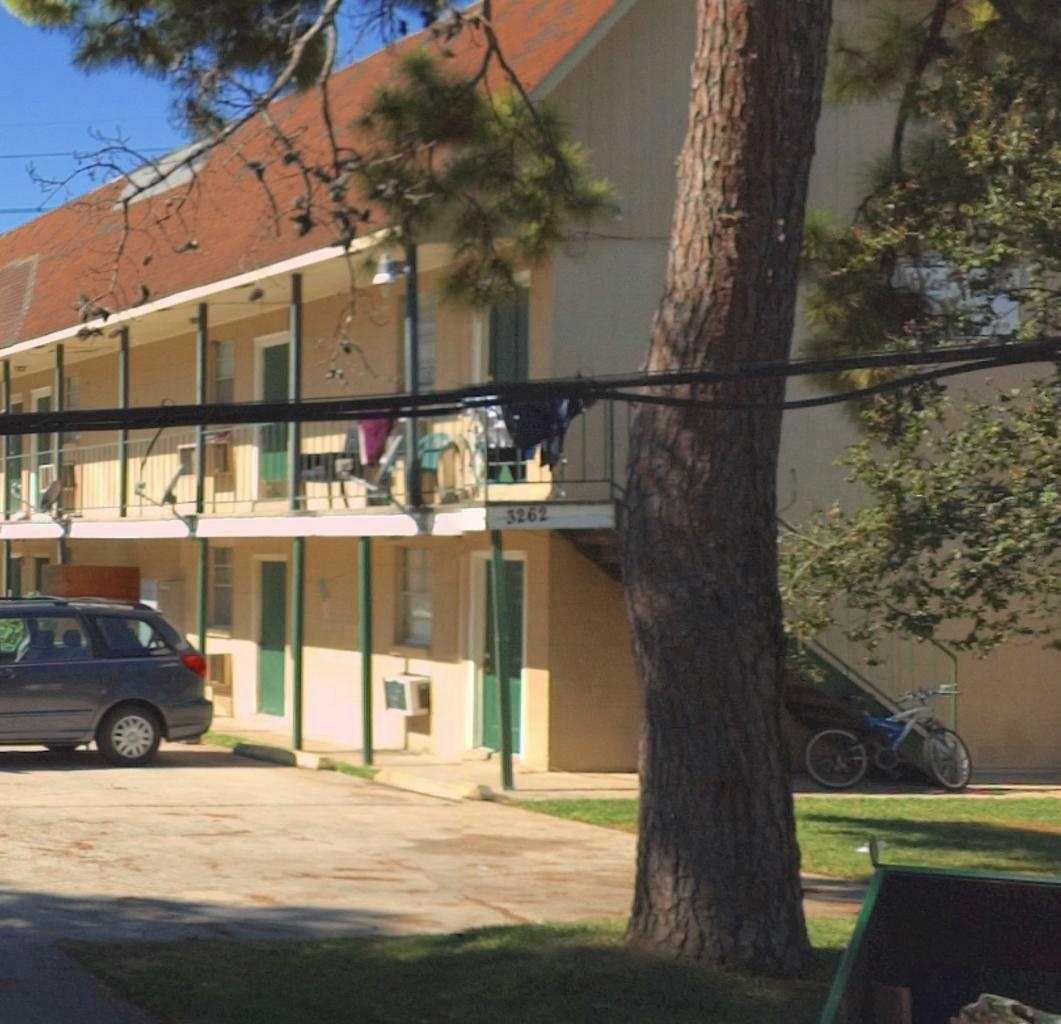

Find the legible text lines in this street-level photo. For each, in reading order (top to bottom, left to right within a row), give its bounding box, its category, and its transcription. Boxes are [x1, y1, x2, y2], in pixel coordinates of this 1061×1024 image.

[505, 505, 550, 526] StreetNumber: 3262